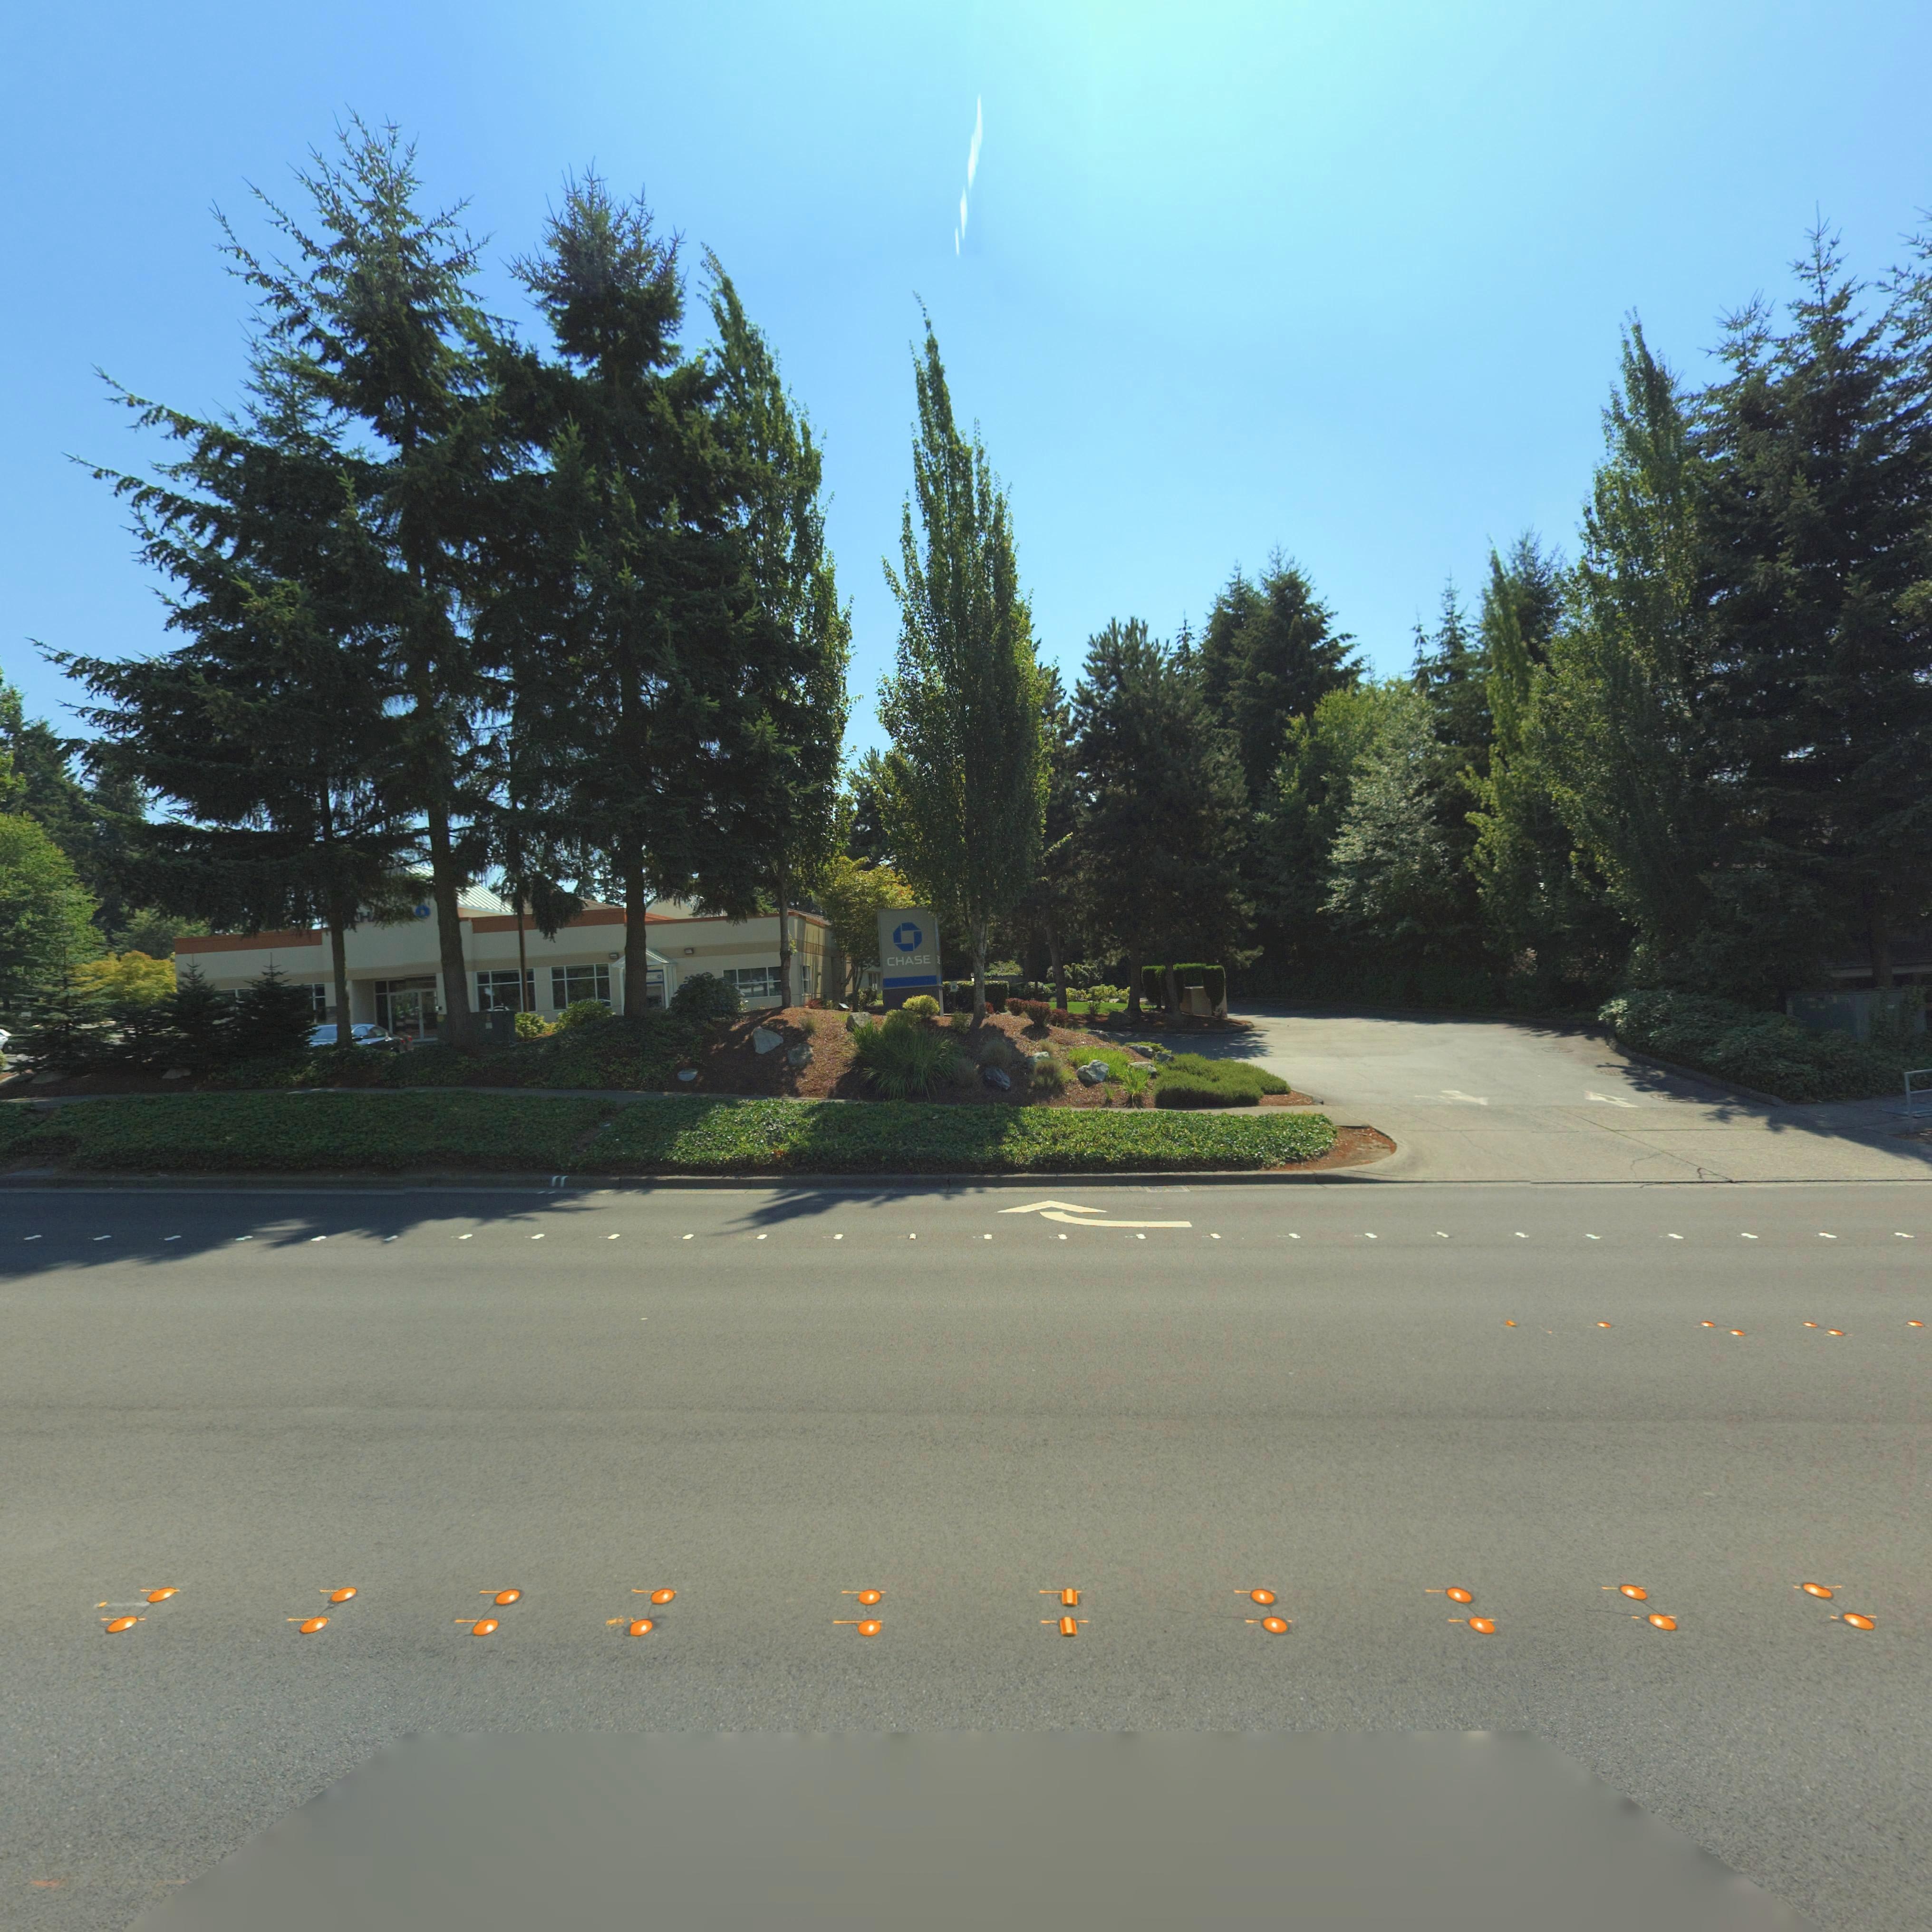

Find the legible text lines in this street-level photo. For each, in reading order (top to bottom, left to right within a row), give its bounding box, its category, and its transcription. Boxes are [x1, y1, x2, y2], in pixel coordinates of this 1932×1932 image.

[887, 955, 931, 966] BusinessName: CHASE
[646, 975, 657, 979] BusinessName: ASE